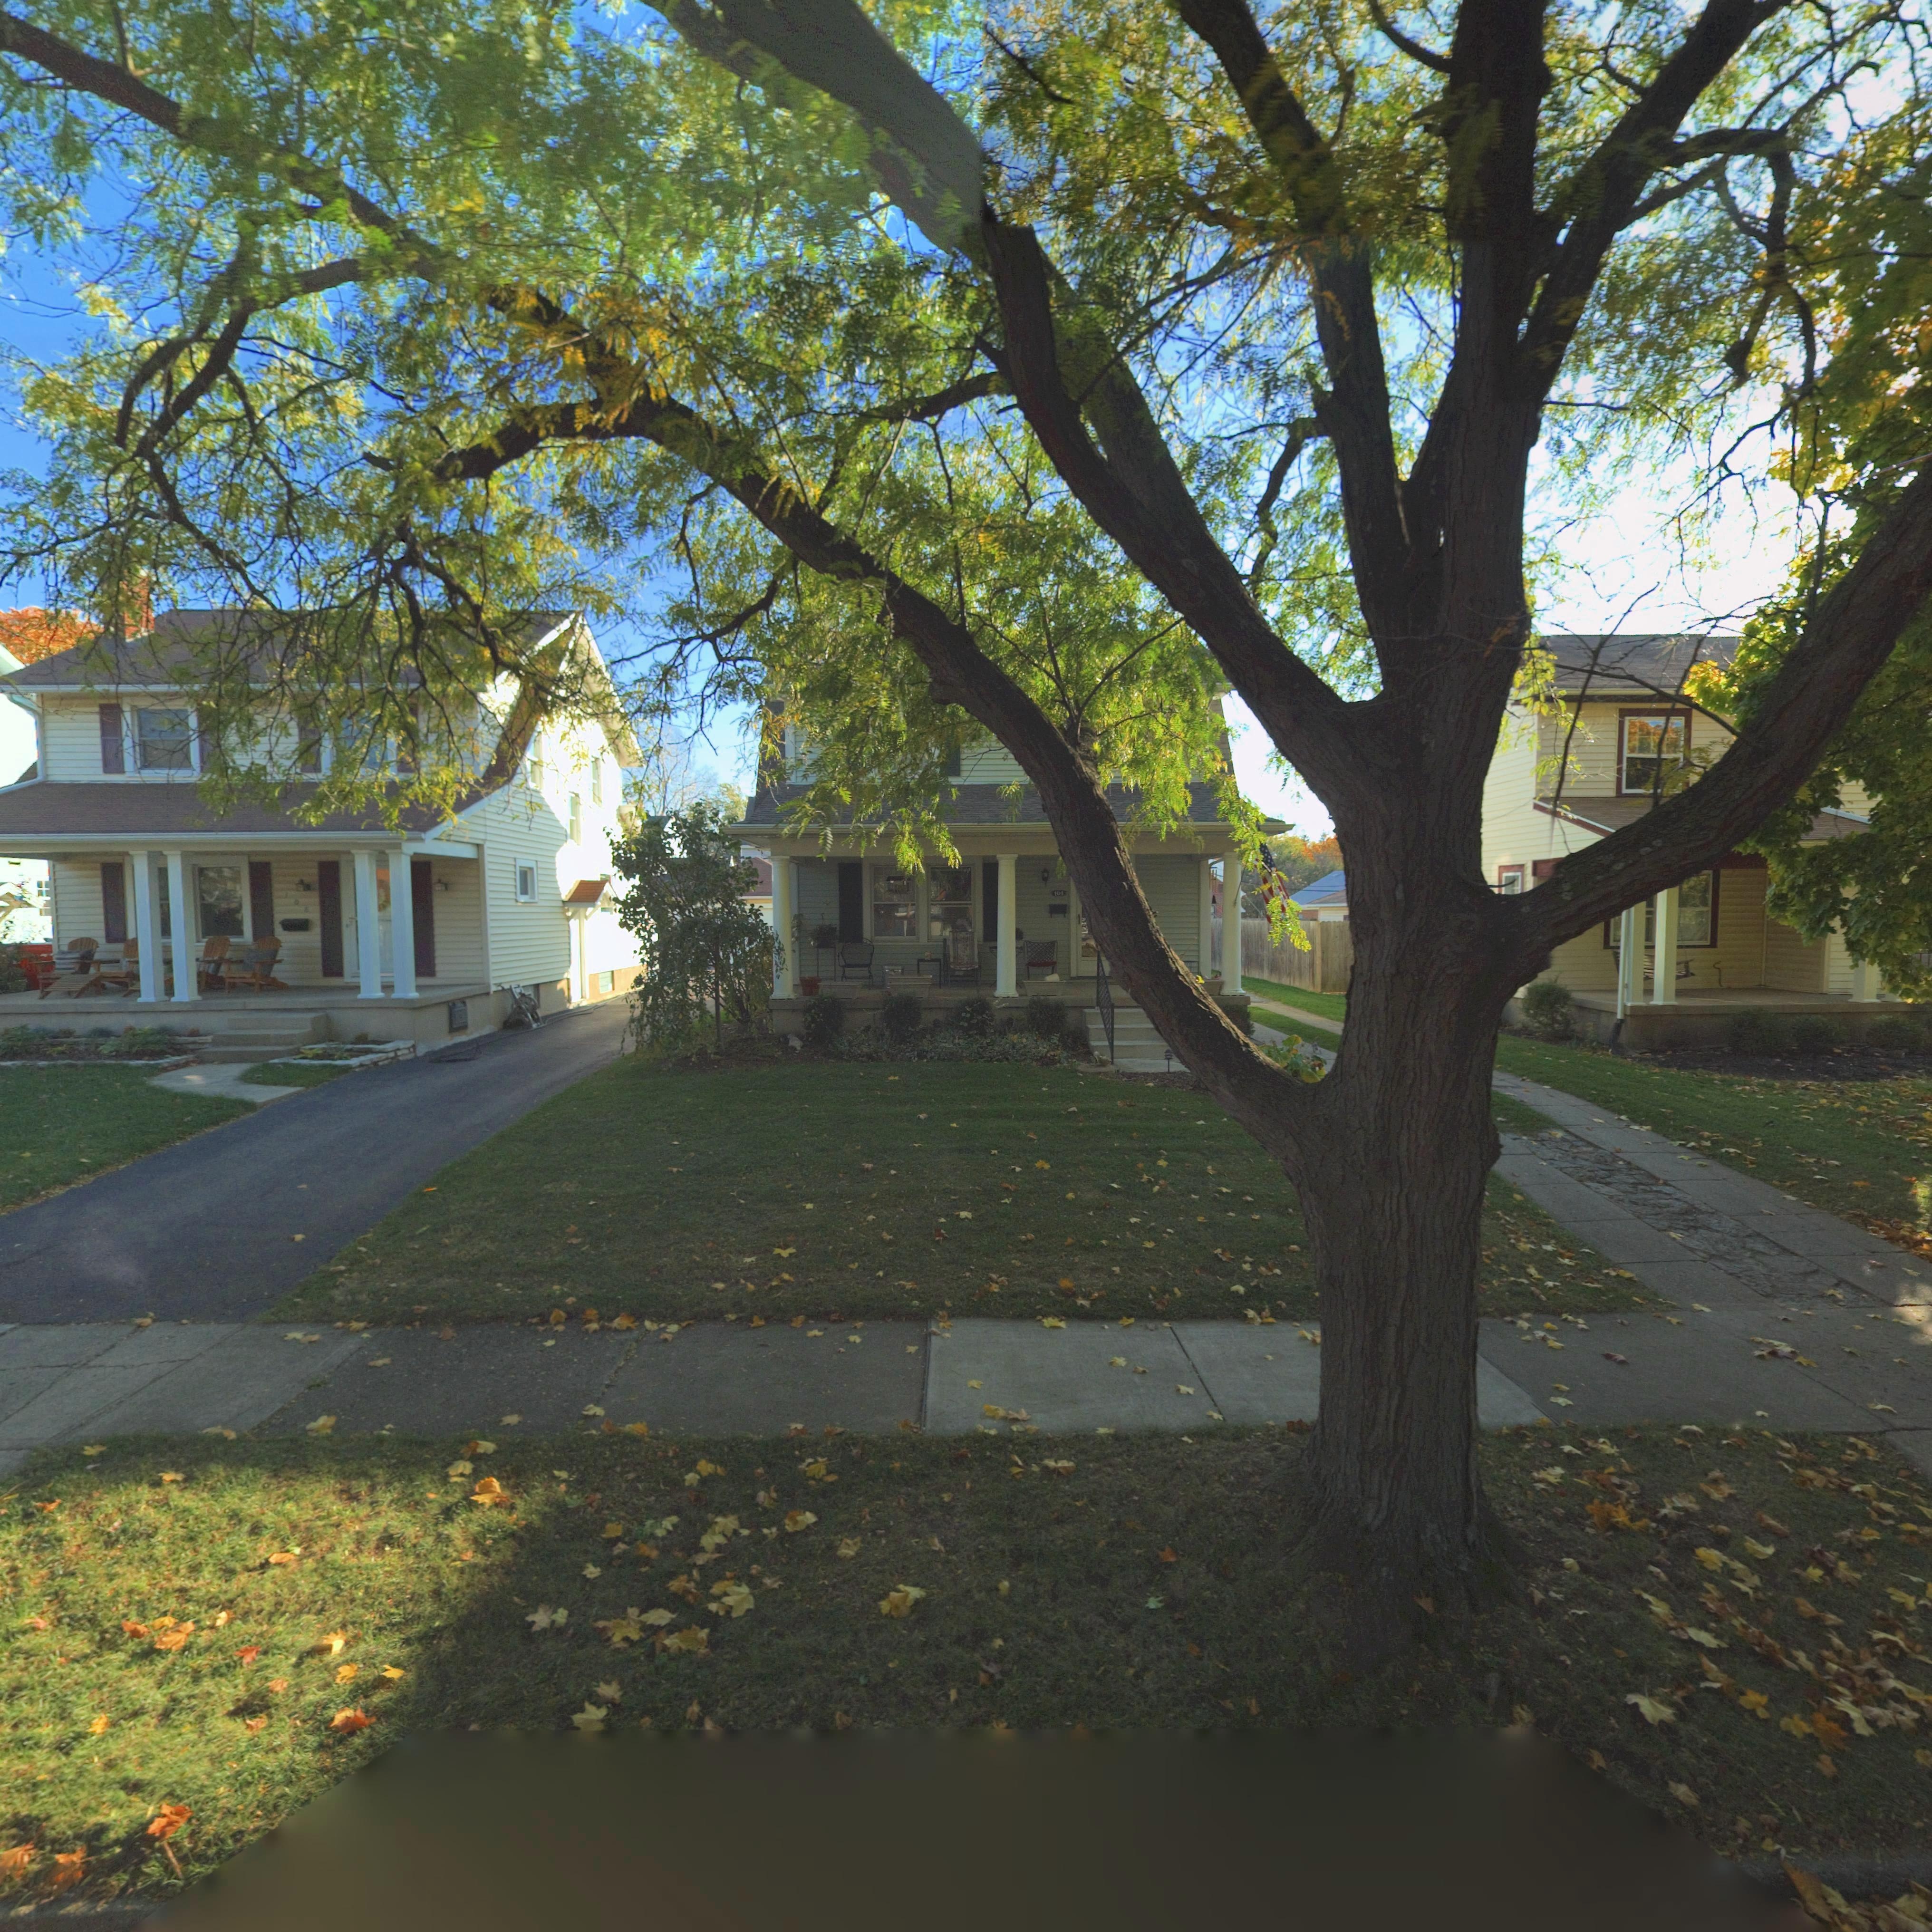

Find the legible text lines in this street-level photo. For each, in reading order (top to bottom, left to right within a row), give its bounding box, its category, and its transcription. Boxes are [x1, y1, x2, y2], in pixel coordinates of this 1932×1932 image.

[283, 891, 309, 914] StreetNumber: 108
[1053, 890, 1064, 896] StreetNumber: 104